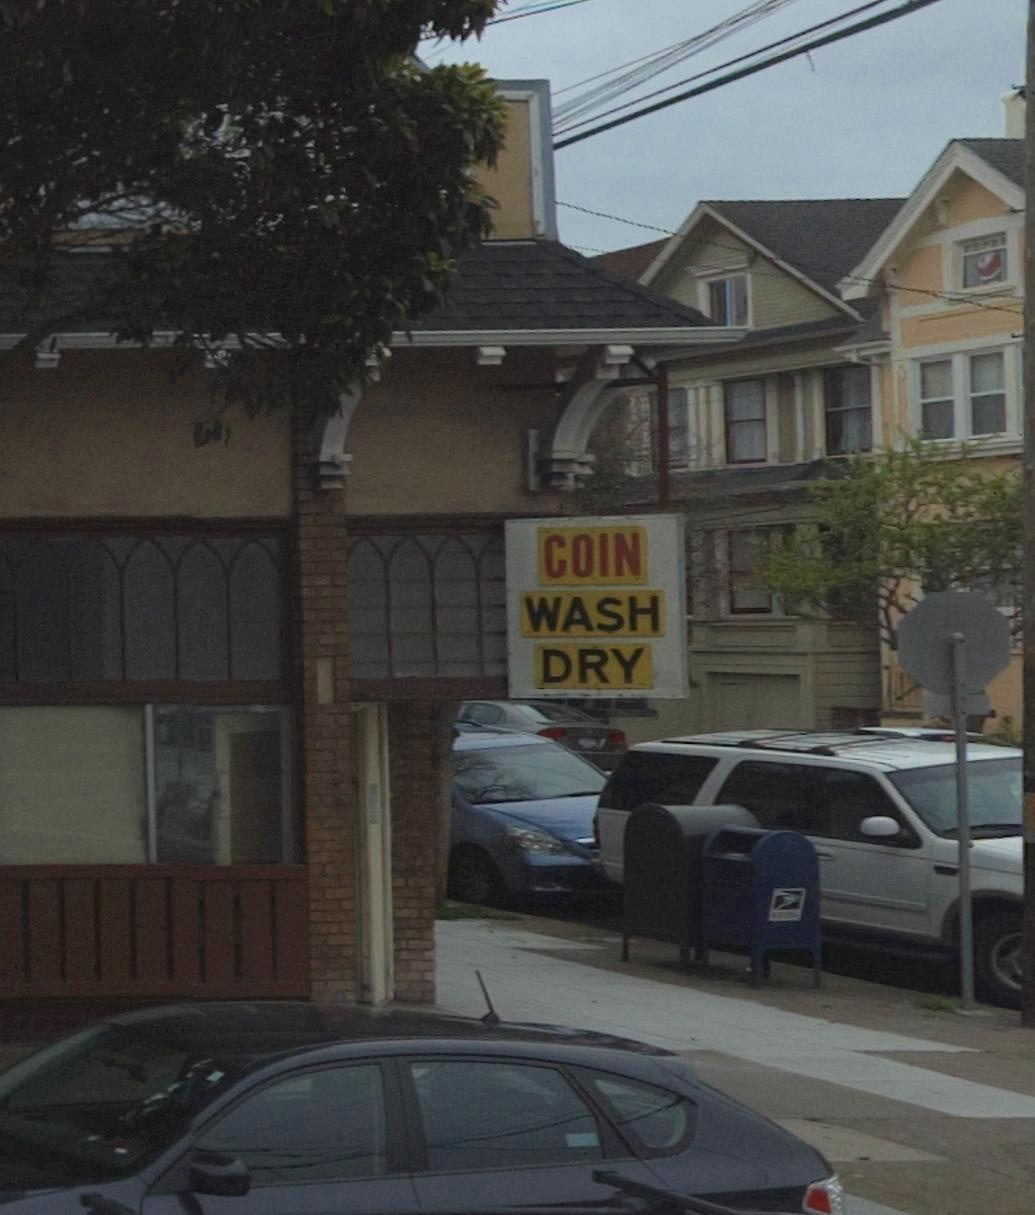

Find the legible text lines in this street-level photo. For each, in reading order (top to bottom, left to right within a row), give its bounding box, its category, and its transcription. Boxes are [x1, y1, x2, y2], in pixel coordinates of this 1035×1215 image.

[541, 530, 644, 581] None: COIN
[521, 592, 663, 636] None: WASH
[540, 644, 648, 687] None: DRY